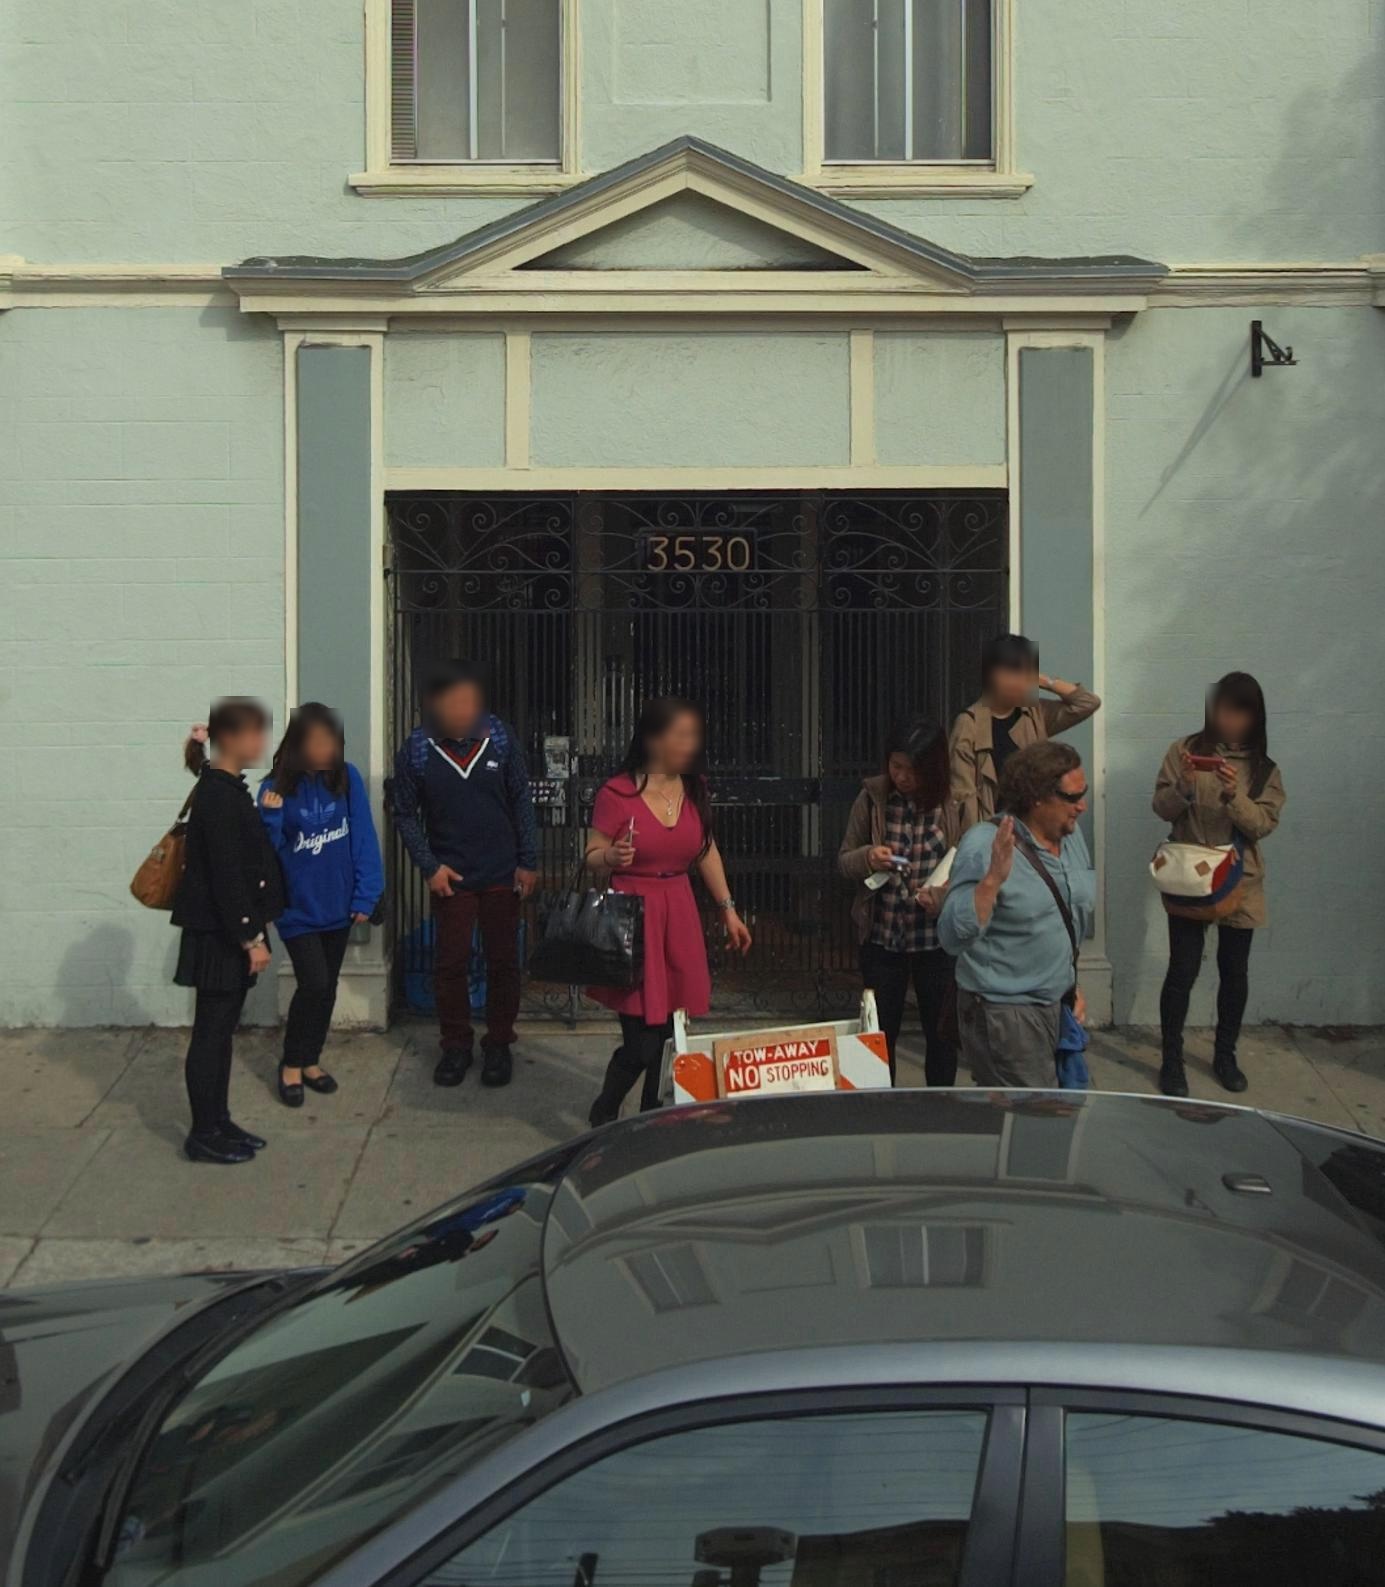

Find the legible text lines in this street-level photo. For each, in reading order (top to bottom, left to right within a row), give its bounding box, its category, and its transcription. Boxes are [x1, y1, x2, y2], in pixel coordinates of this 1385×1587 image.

[645, 535, 752, 573] StreetNumber: 3530
[728, 1038, 821, 1067] None: TOW-AWAY
[727, 1057, 832, 1092] None: NO STOPPING